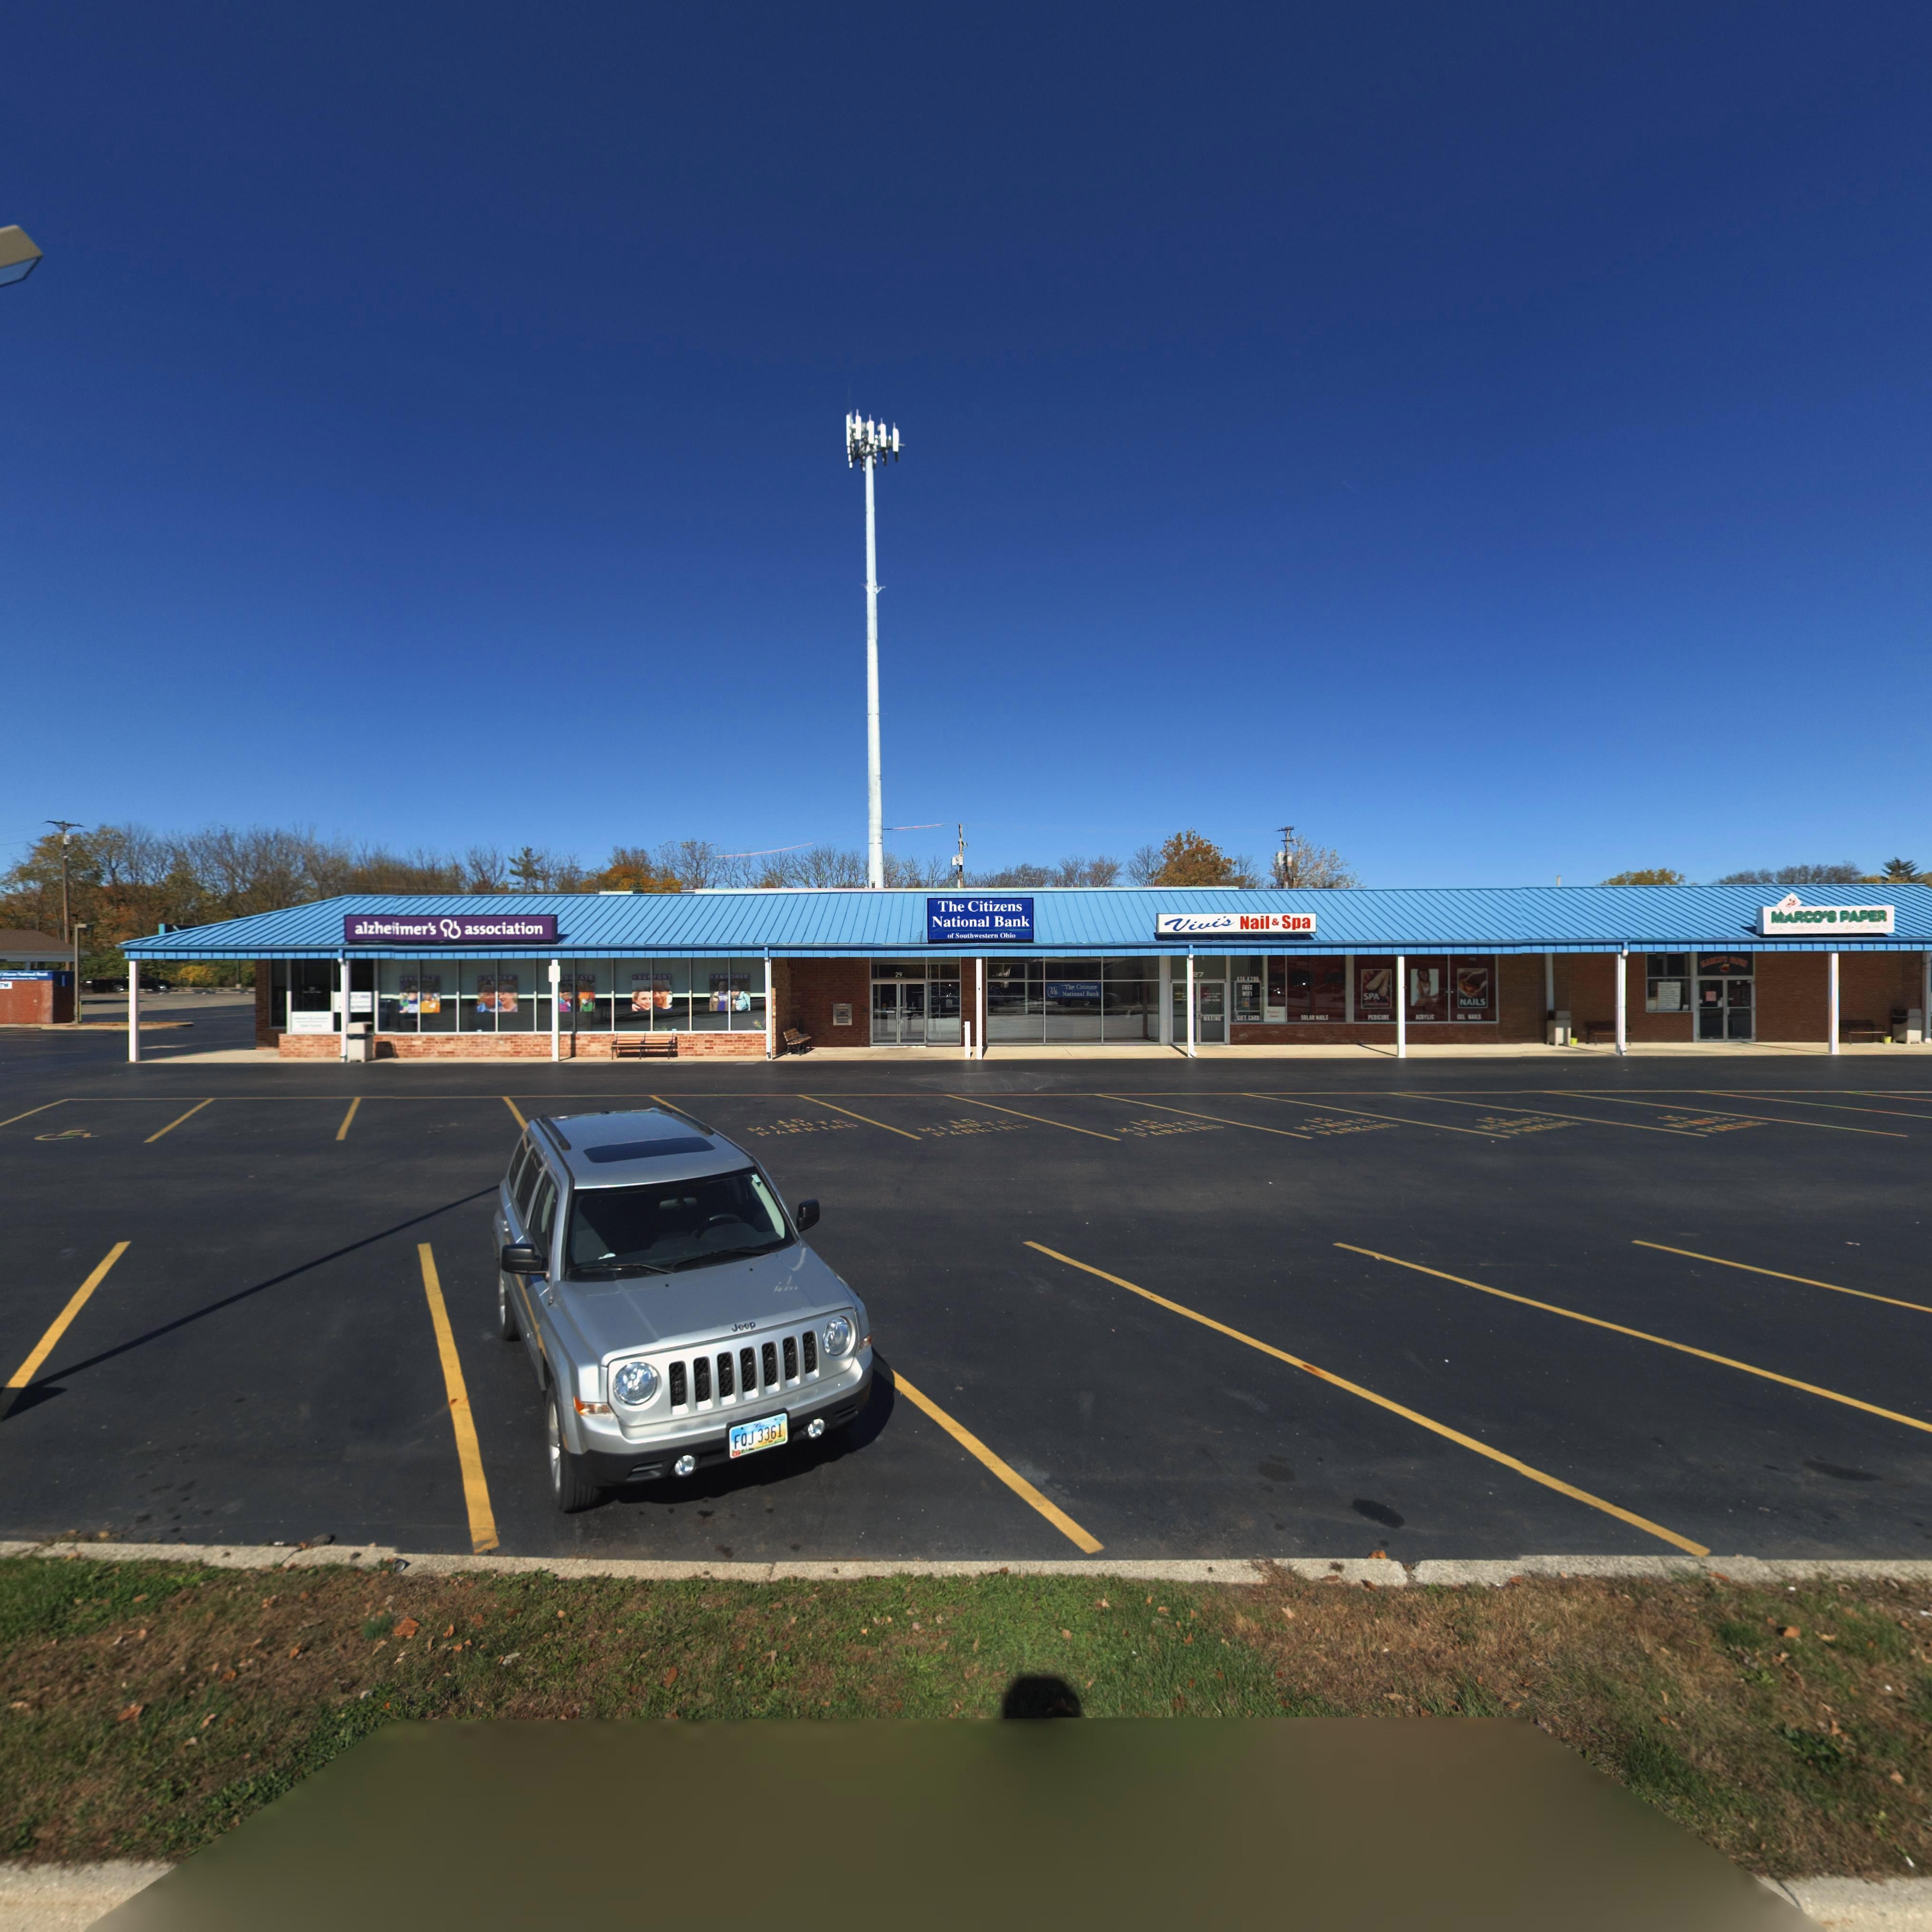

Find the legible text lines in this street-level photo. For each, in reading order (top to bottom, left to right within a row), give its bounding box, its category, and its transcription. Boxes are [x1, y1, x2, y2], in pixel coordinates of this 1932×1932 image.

[937, 900, 1023, 913] BusinessName: The Citizens
[1770, 909, 1888, 924] BusinessName: MARCO'S PAPER
[931, 915, 1031, 928] BusinessName: National Bank
[1163, 914, 1311, 932] BusinessName: Vivi's Nail & Spa
[353, 920, 544, 936] BusinessName: alzhe*imer's * association
[947, 932, 1016, 939] BusinessName: of Southwestern Ohio
[563, 975, 594, 981] None: DUCATE
[637, 974, 672, 980] None: SU*PORT
[715, 974, 749, 980] None: EMPOWER
[894, 971, 903, 978] StreetNumber: 29
[1193, 971, 1205, 978] StreetNumber: *7
[1236, 976, 1259, 983] None: 434-4280
[1049, 986, 1058, 991] None: TC
[1049, 990, 1058, 995] None: NB
[1064, 984, 1097, 990] BusinessName: The Citizens
[1062, 991, 1100, 996] BusinessName: National Bank
[1241, 984, 1253, 991] None: FREE
[1241, 990, 1253, 997] None: WIFI
[1363, 992, 1381, 1001] None: SPA
[1459, 997, 1486, 1006] None: NAILS
[1202, 1015, 1222, 1022] None: WAXING
[1236, 1014, 1260, 1021] None: GIFT CARD
[1300, 1014, 1329, 1021] None: SOLAR NAILS
[1367, 1014, 1390, 1021] None: PEDICURE
[1414, 1014, 1435, 1021] None: ACRYLIC
[1456, 1013, 1482, 1020] None: GEL NAILS
[745, 1118, 850, 1133] None: MINUTE
[755, 1122, 860, 1137] None: PARKING
[915, 1120, 1016, 1133] None: MINUTE
[930, 1124, 1030, 1137] None: PARKING
[1112, 1120, 1207, 1133] None: MINUTE
[1131, 1124, 1225, 1138] None: PARKING
[1291, 1118, 1379, 1131] None: MINUTE
[1313, 1122, 1401, 1136] None: PARKING
[1472, 1115, 1555, 1131] None: MINUTE
[1498, 1120, 1583, 1135] None: PARKING
[730, 1321, 757, 1333] None: Jeep
[734, 1422, 783, 1451] None: FQJ*3361